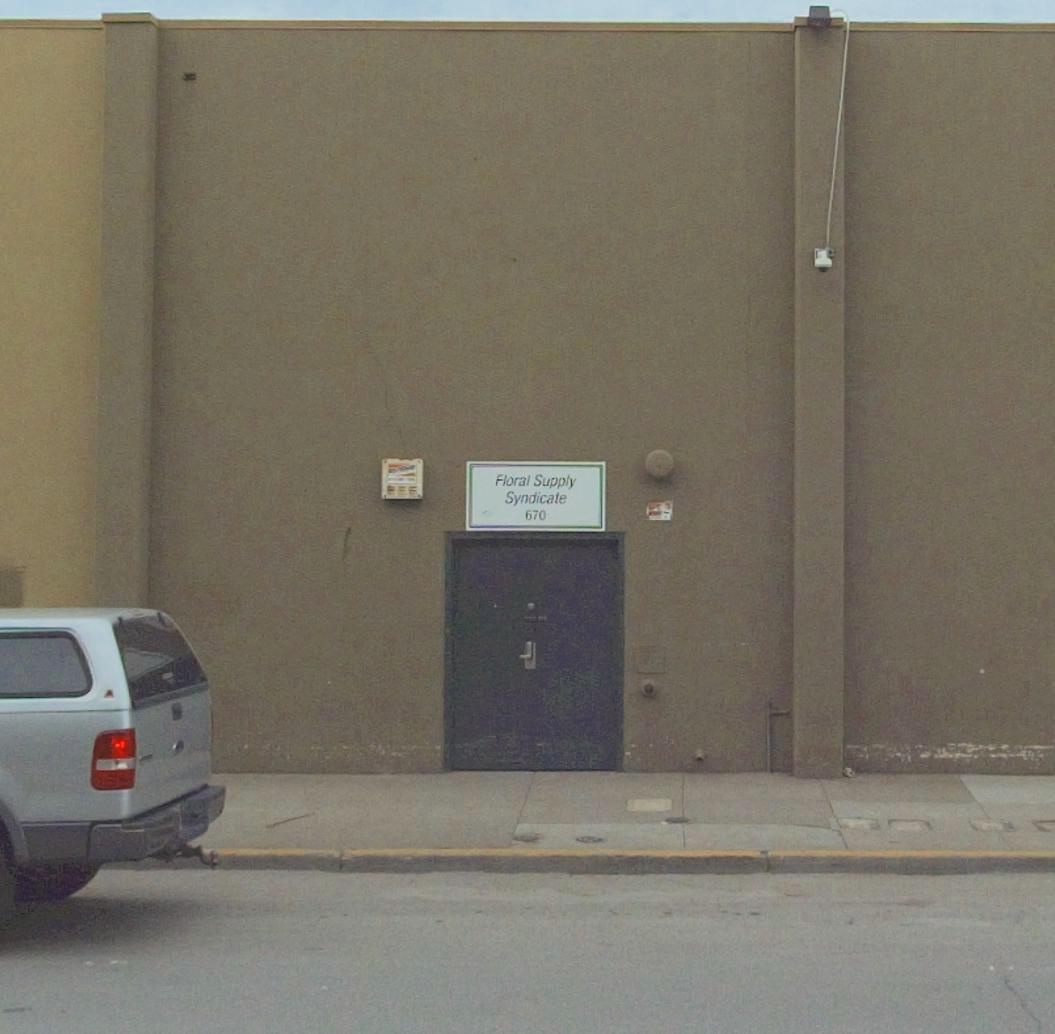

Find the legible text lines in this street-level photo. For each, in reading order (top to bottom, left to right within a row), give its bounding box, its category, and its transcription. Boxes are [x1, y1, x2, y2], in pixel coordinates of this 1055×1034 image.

[493, 472, 578, 492] BusinessName: Floral Supply
[503, 489, 569, 509] BusinessName: Syndicate
[523, 507, 548, 522] StreetNumber: 670